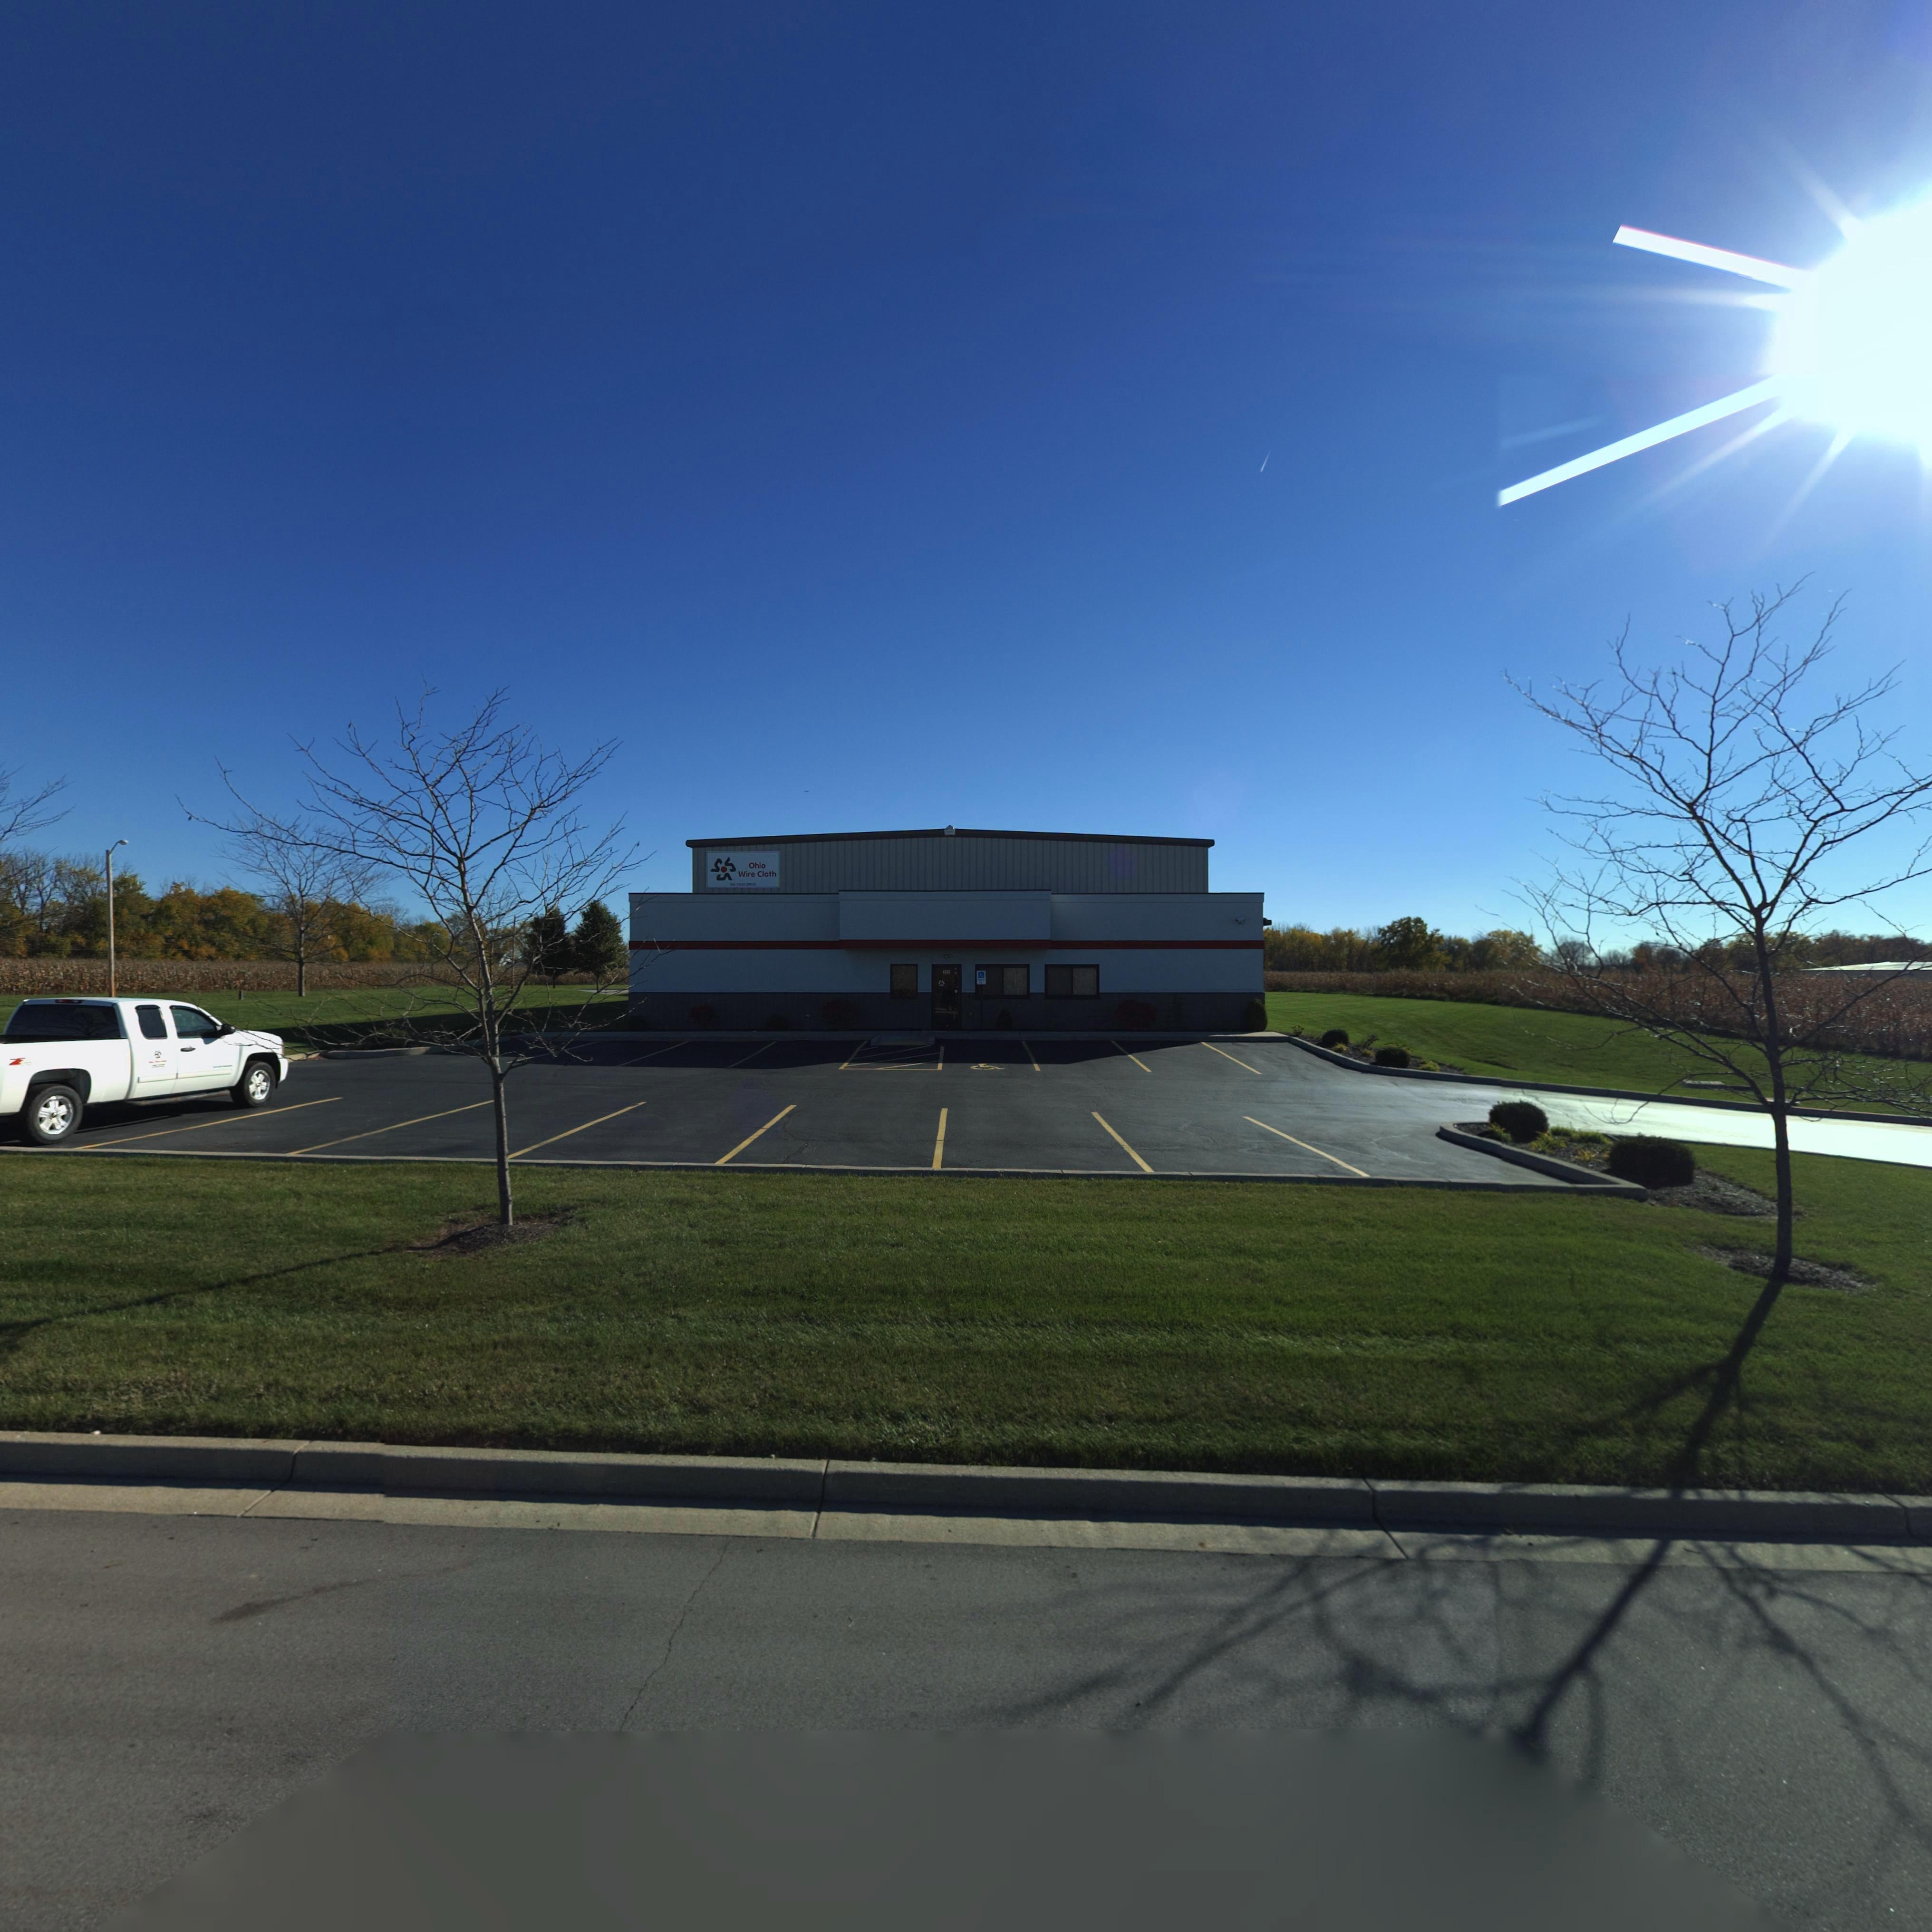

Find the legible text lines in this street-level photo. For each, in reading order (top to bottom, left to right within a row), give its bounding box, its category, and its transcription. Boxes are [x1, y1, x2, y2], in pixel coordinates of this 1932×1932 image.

[943, 969, 950, 975] StreetNumber: 201